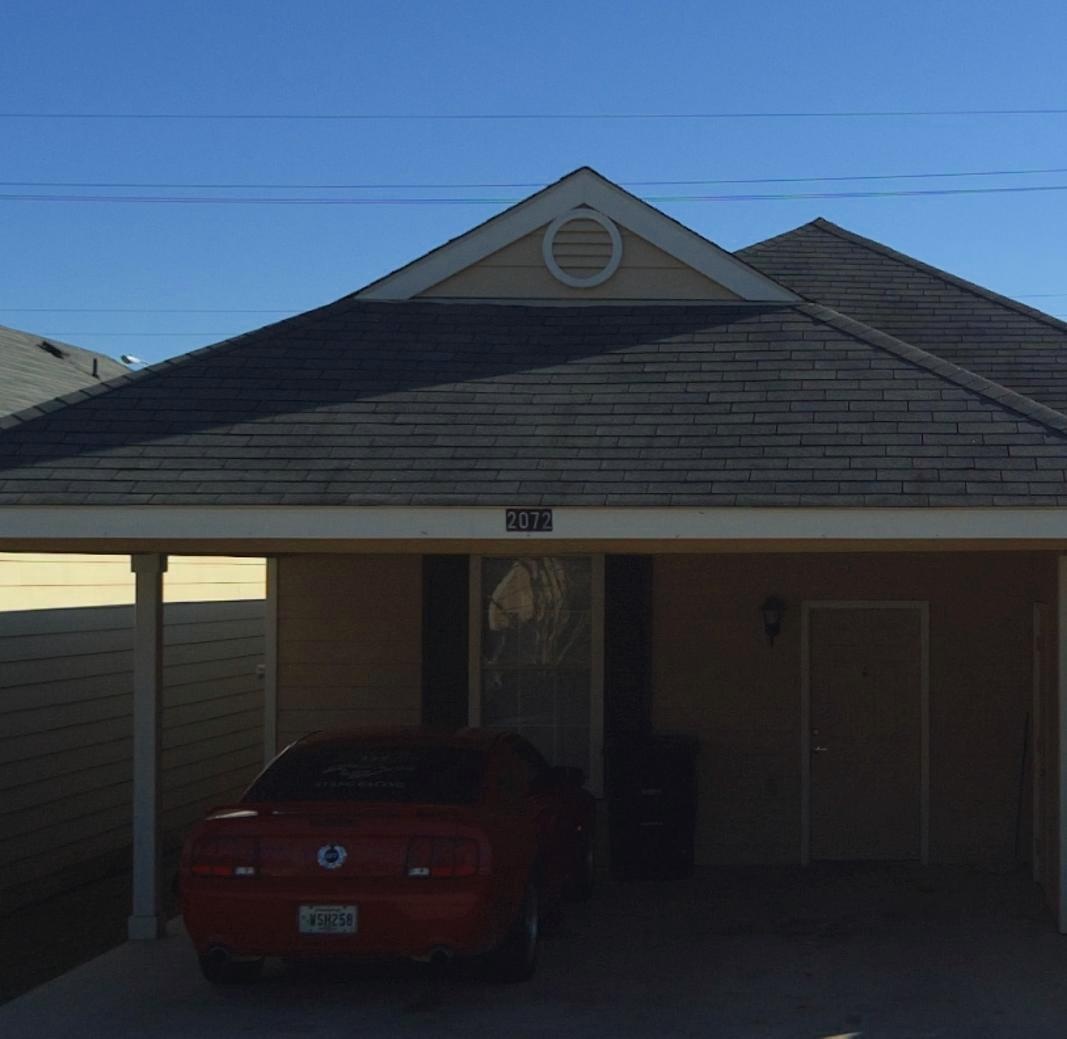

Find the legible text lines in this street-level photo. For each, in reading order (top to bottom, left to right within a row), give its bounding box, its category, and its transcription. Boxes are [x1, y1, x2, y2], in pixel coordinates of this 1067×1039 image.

[506, 510, 552, 531] StreetNumber: 2072
[306, 912, 356, 928] None: WSH258